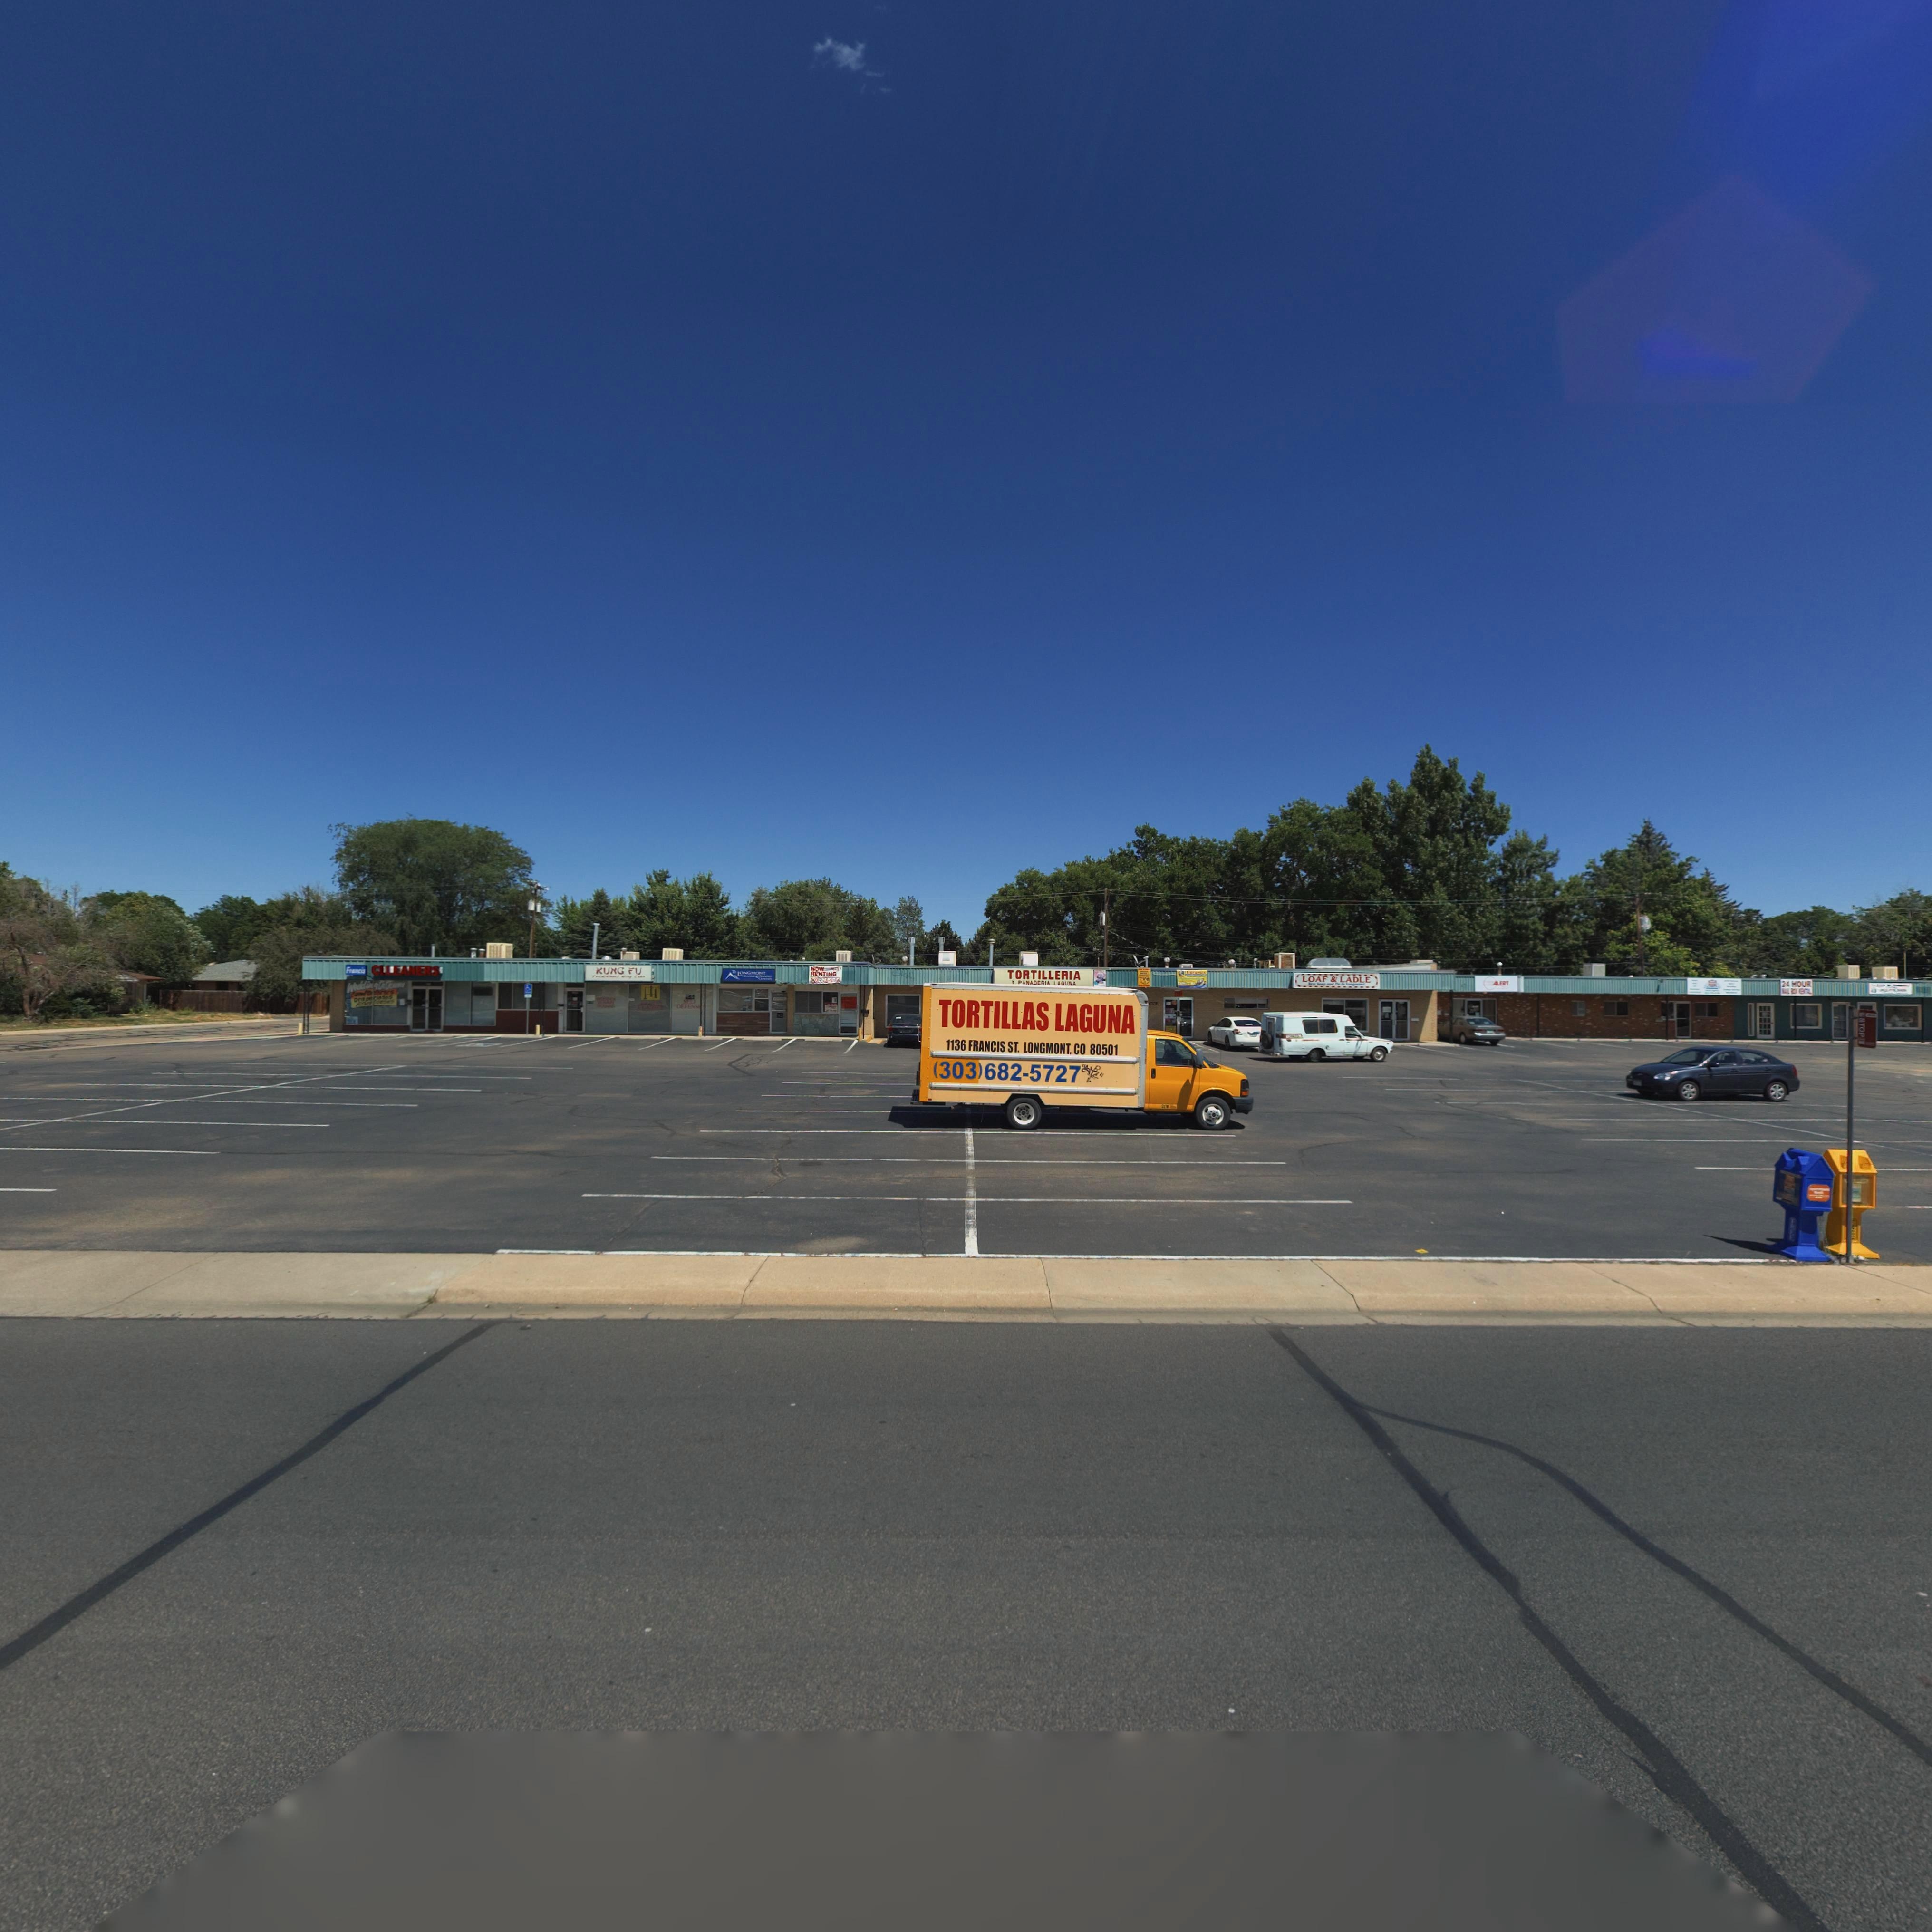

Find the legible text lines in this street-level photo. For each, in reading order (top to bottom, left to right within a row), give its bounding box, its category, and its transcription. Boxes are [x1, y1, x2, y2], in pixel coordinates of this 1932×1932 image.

[345, 966, 366, 974] BusinessName: Francis
[371, 965, 441, 976] BusinessName: CLEANERS
[596, 966, 642, 975] BusinessName: KUNG FU
[1011, 979, 1076, 985] BusinessName: Y PANADERIA LAGUNA
[1006, 969, 1082, 980] BusinessName: TORTILLERIA
[1302, 975, 1372, 983] BusinessName: LOAF * LADLE
[1492, 980, 1510, 986] BusinessName: ALERT
[1781, 980, 1811, 987] BusinessName: 24 HOUR
[1781, 987, 1813, 995] BusinessName: *** ** *ENTAL